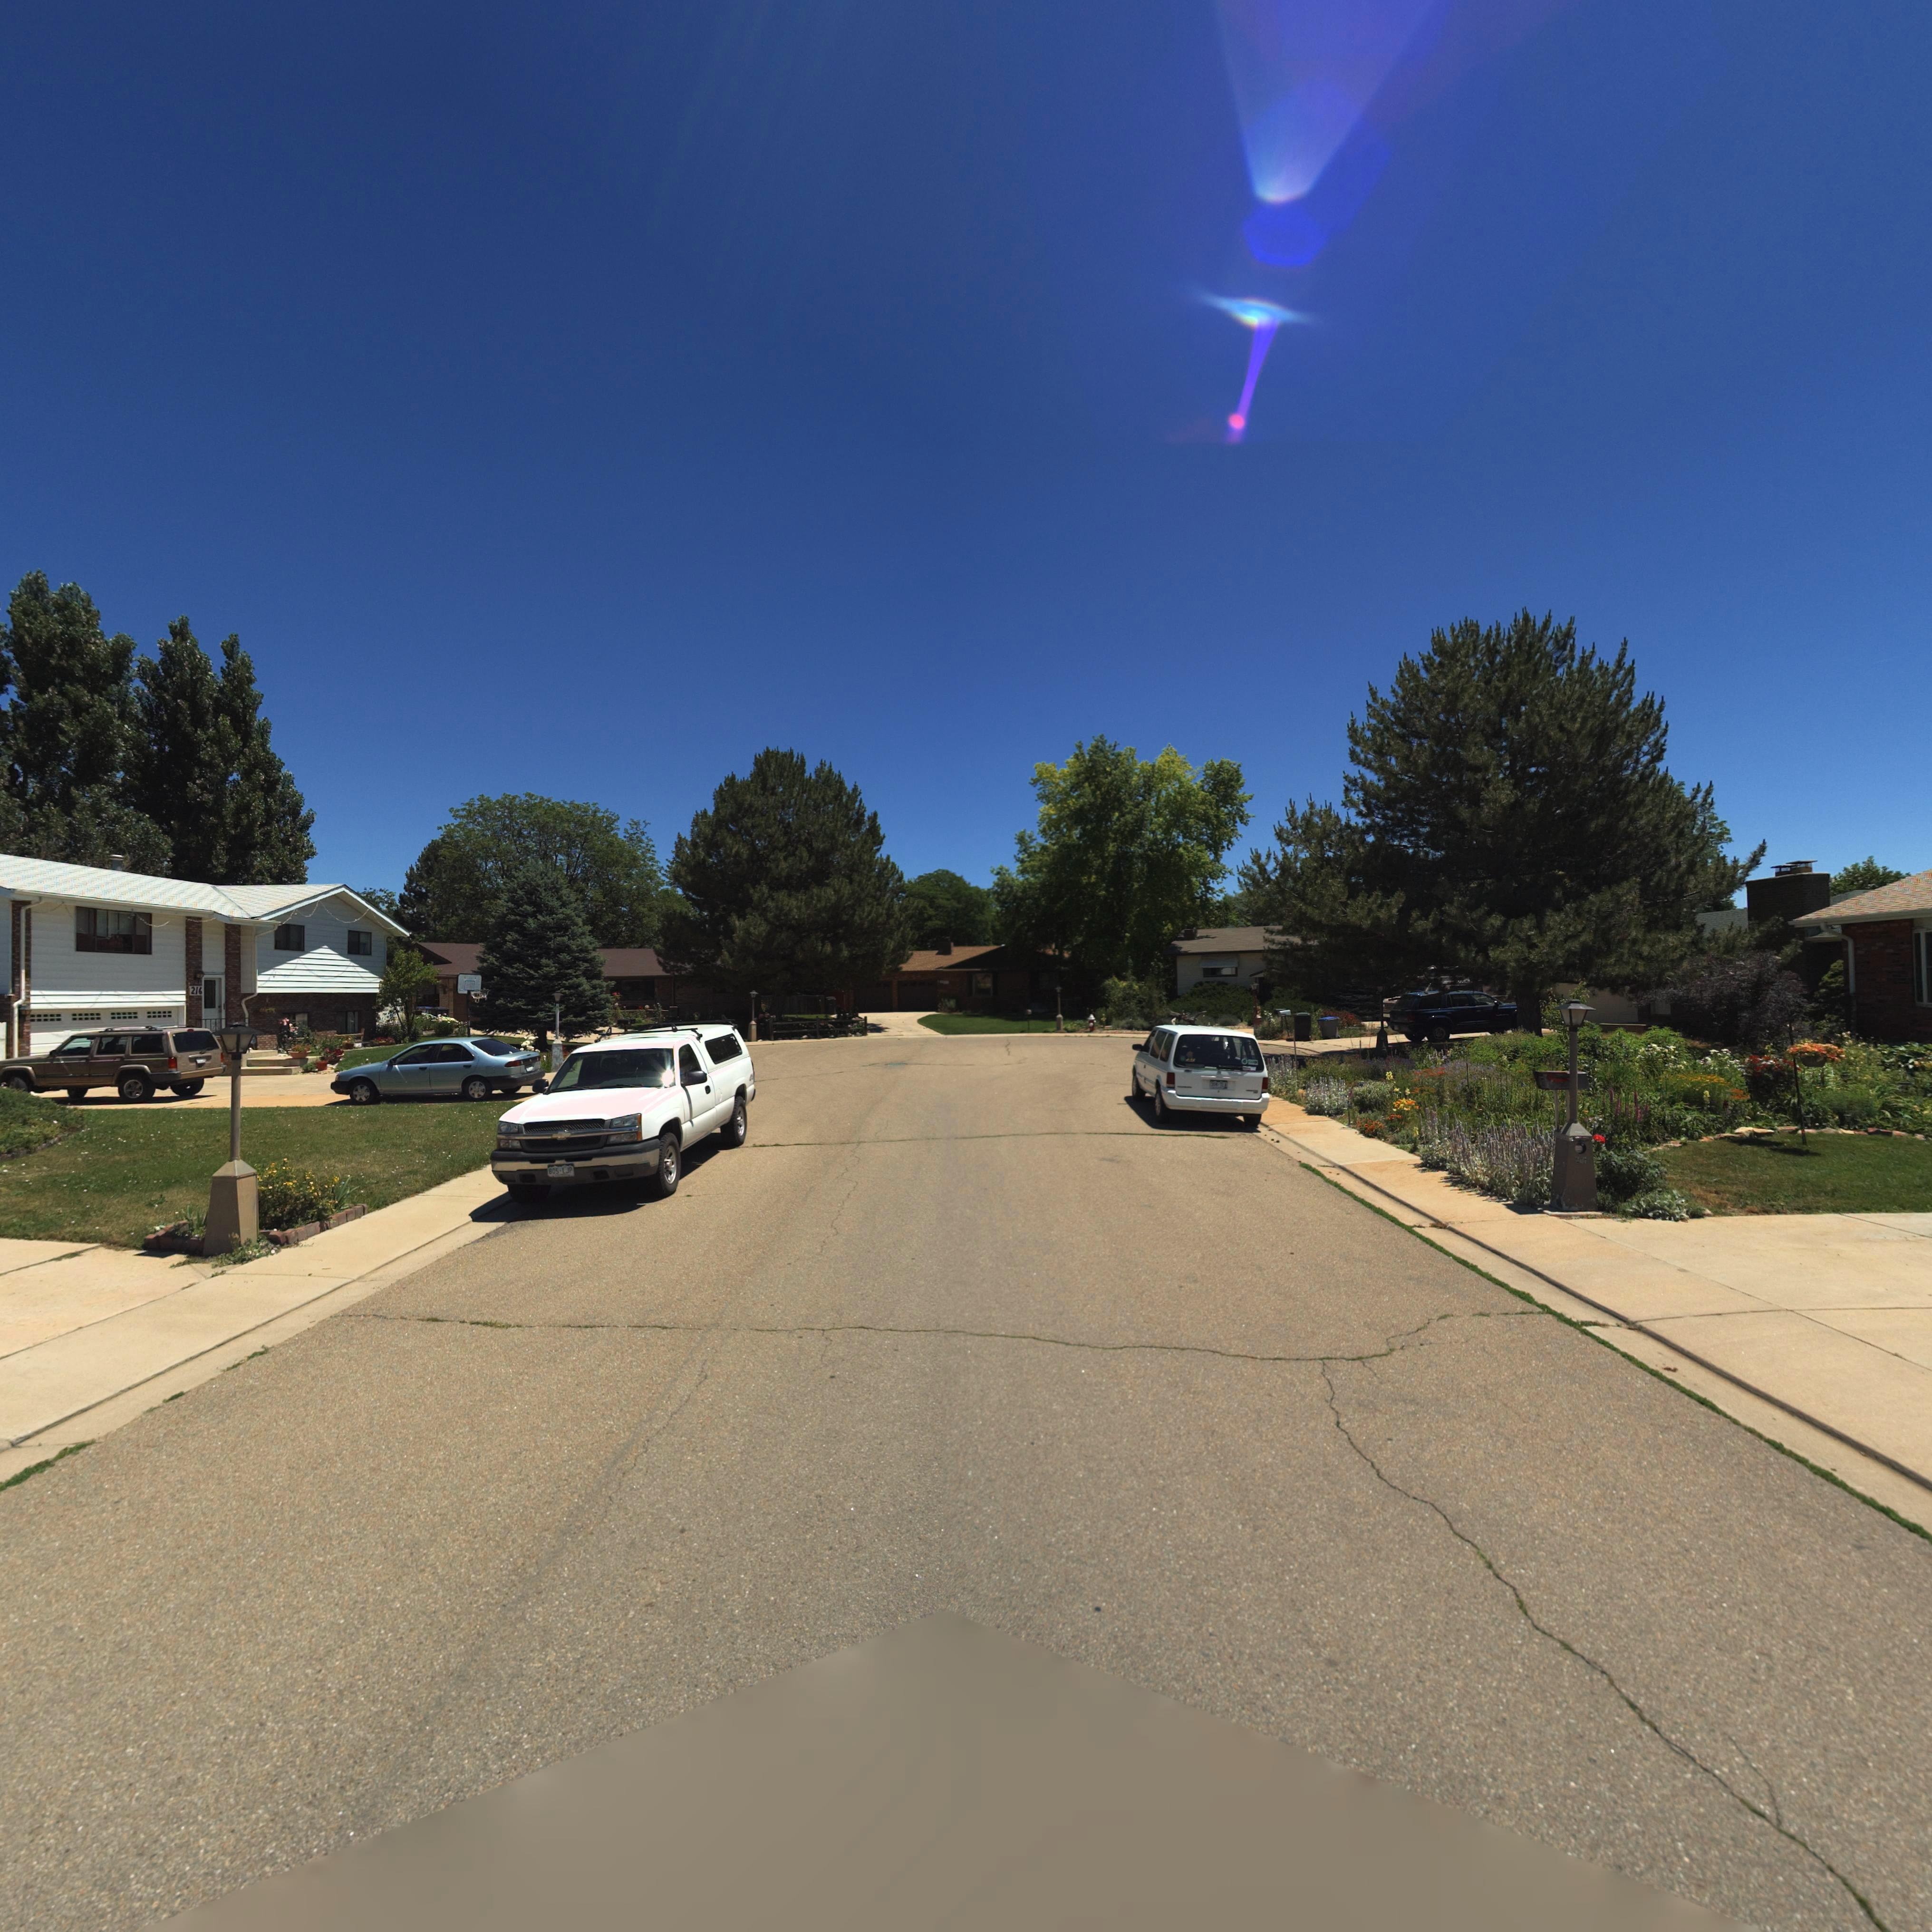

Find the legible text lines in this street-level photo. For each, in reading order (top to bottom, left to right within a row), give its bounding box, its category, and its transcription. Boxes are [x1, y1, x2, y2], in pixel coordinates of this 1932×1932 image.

[191, 986, 203, 995] StreetNumber: 216